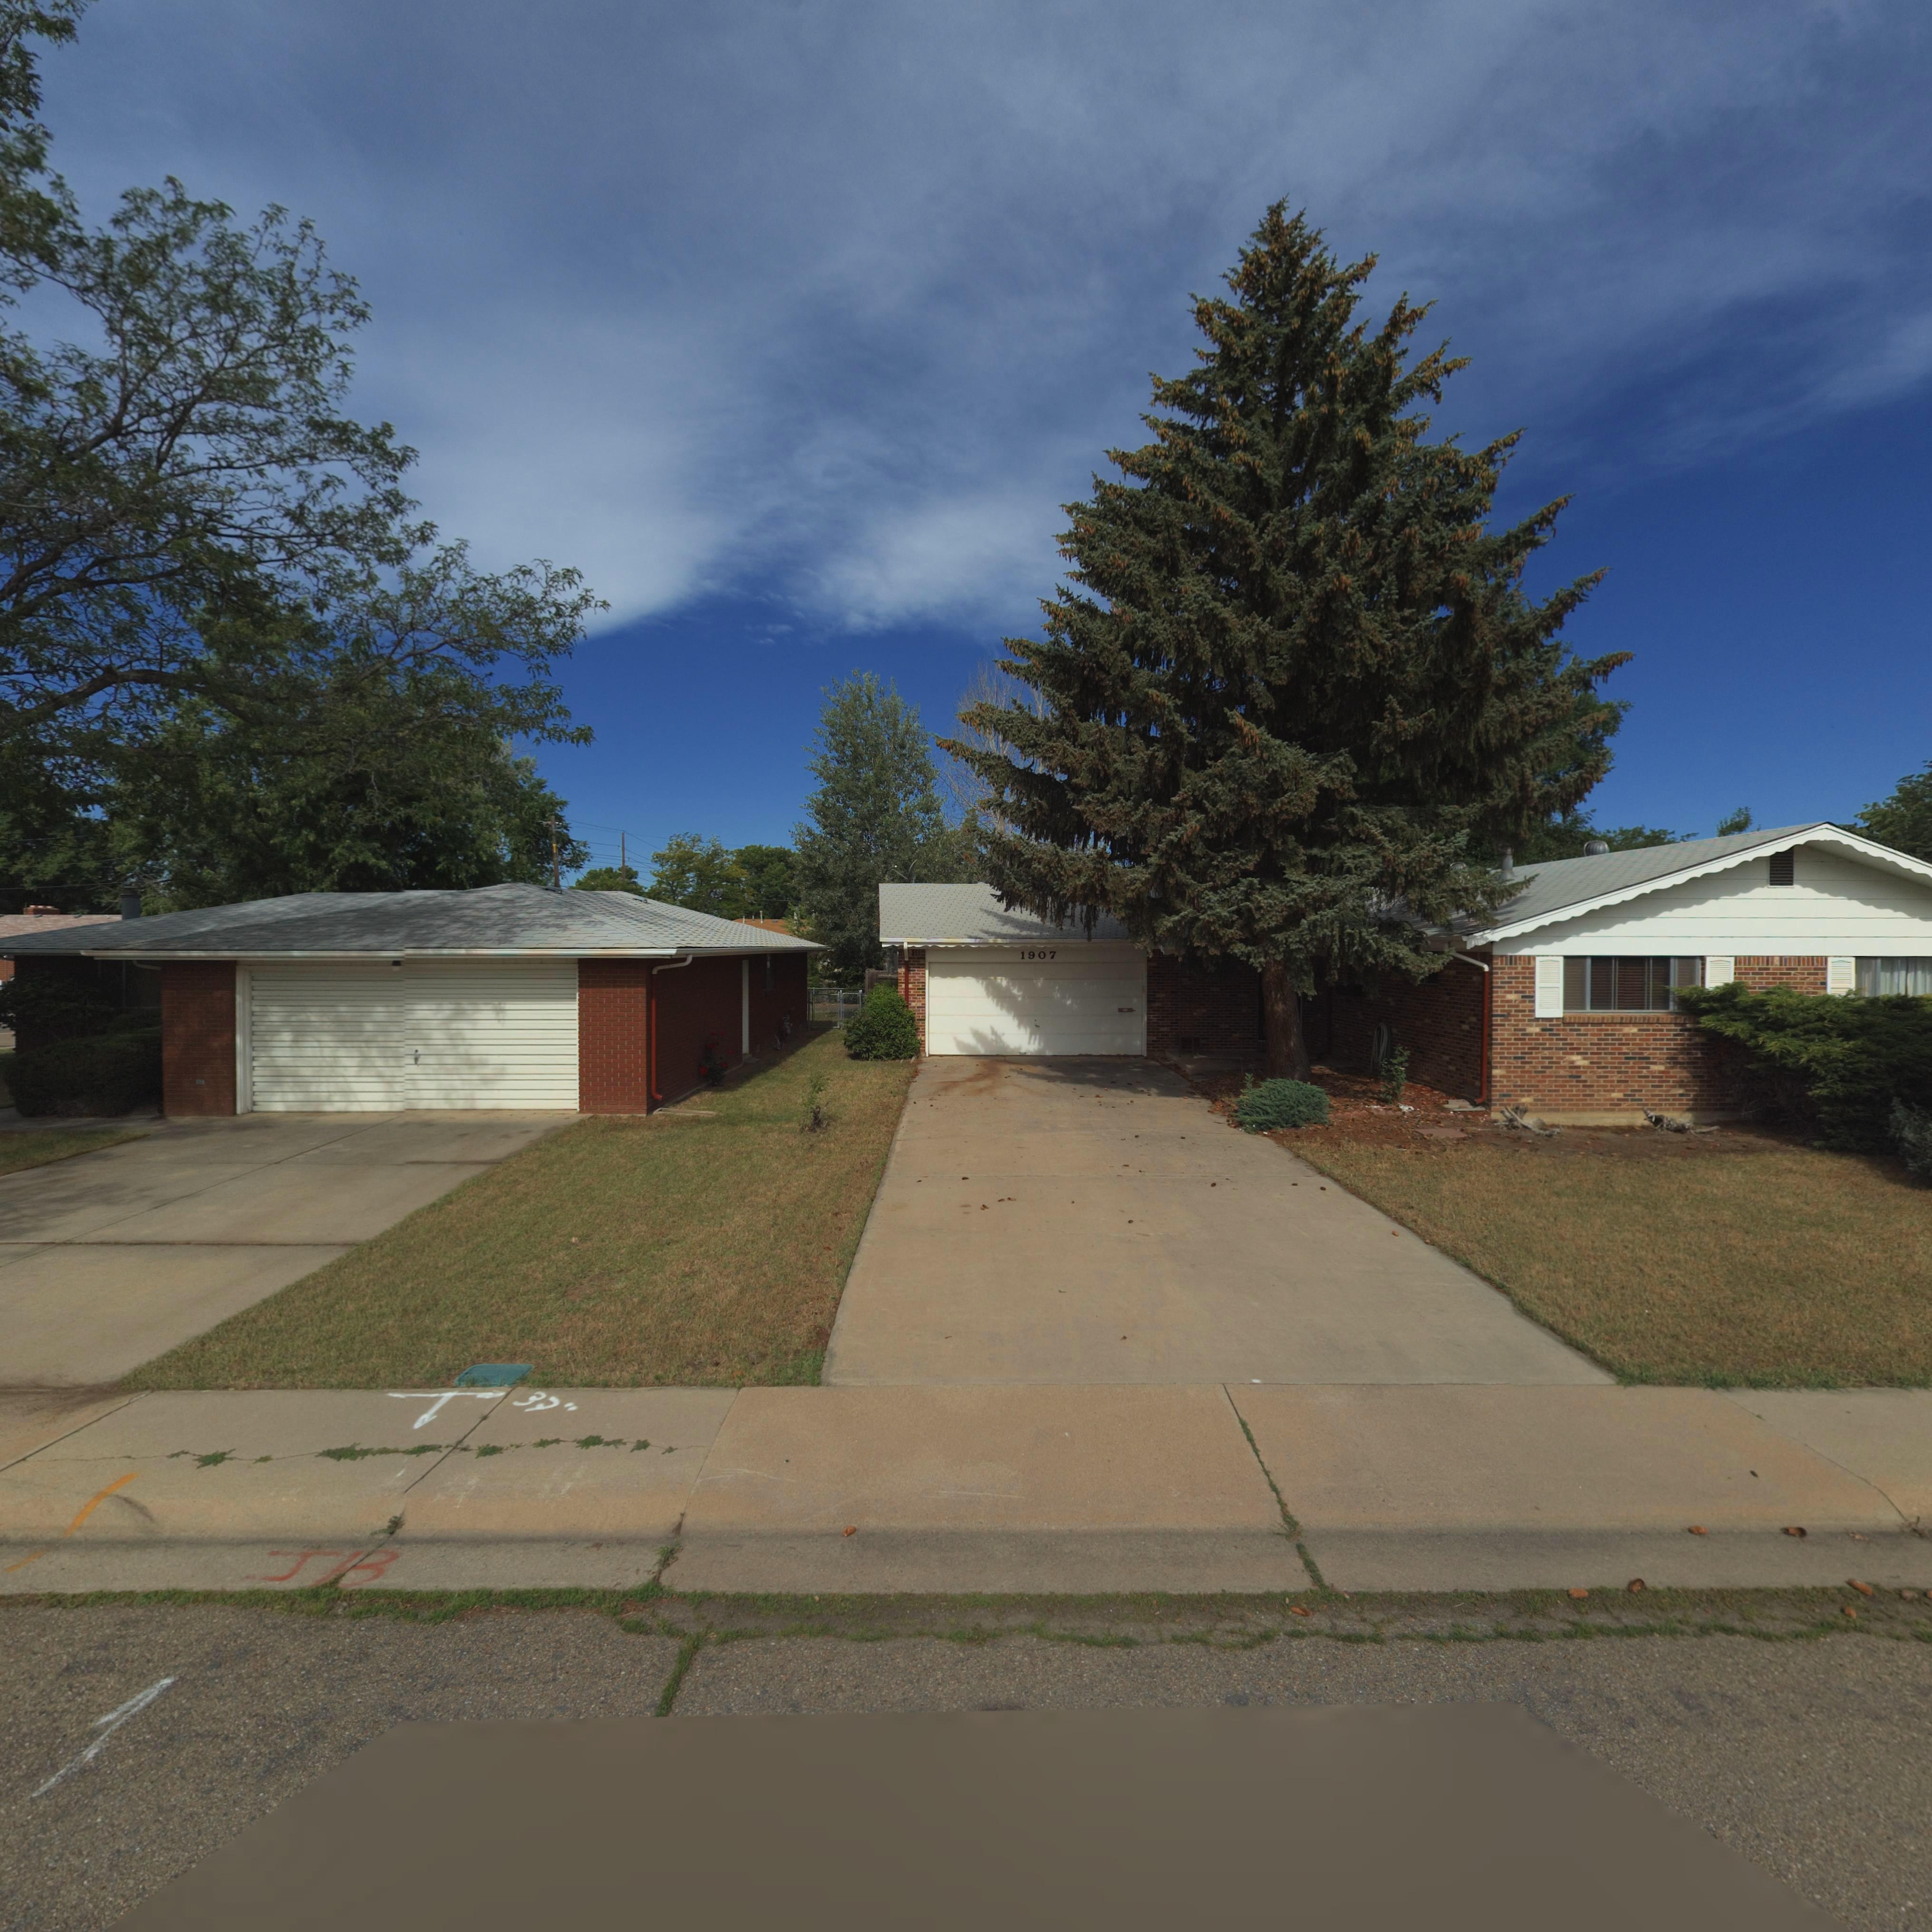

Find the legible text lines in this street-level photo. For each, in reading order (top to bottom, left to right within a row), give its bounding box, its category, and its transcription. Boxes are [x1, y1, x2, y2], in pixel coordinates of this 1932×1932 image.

[1021, 951, 1056, 959] StreetNumber: 1907